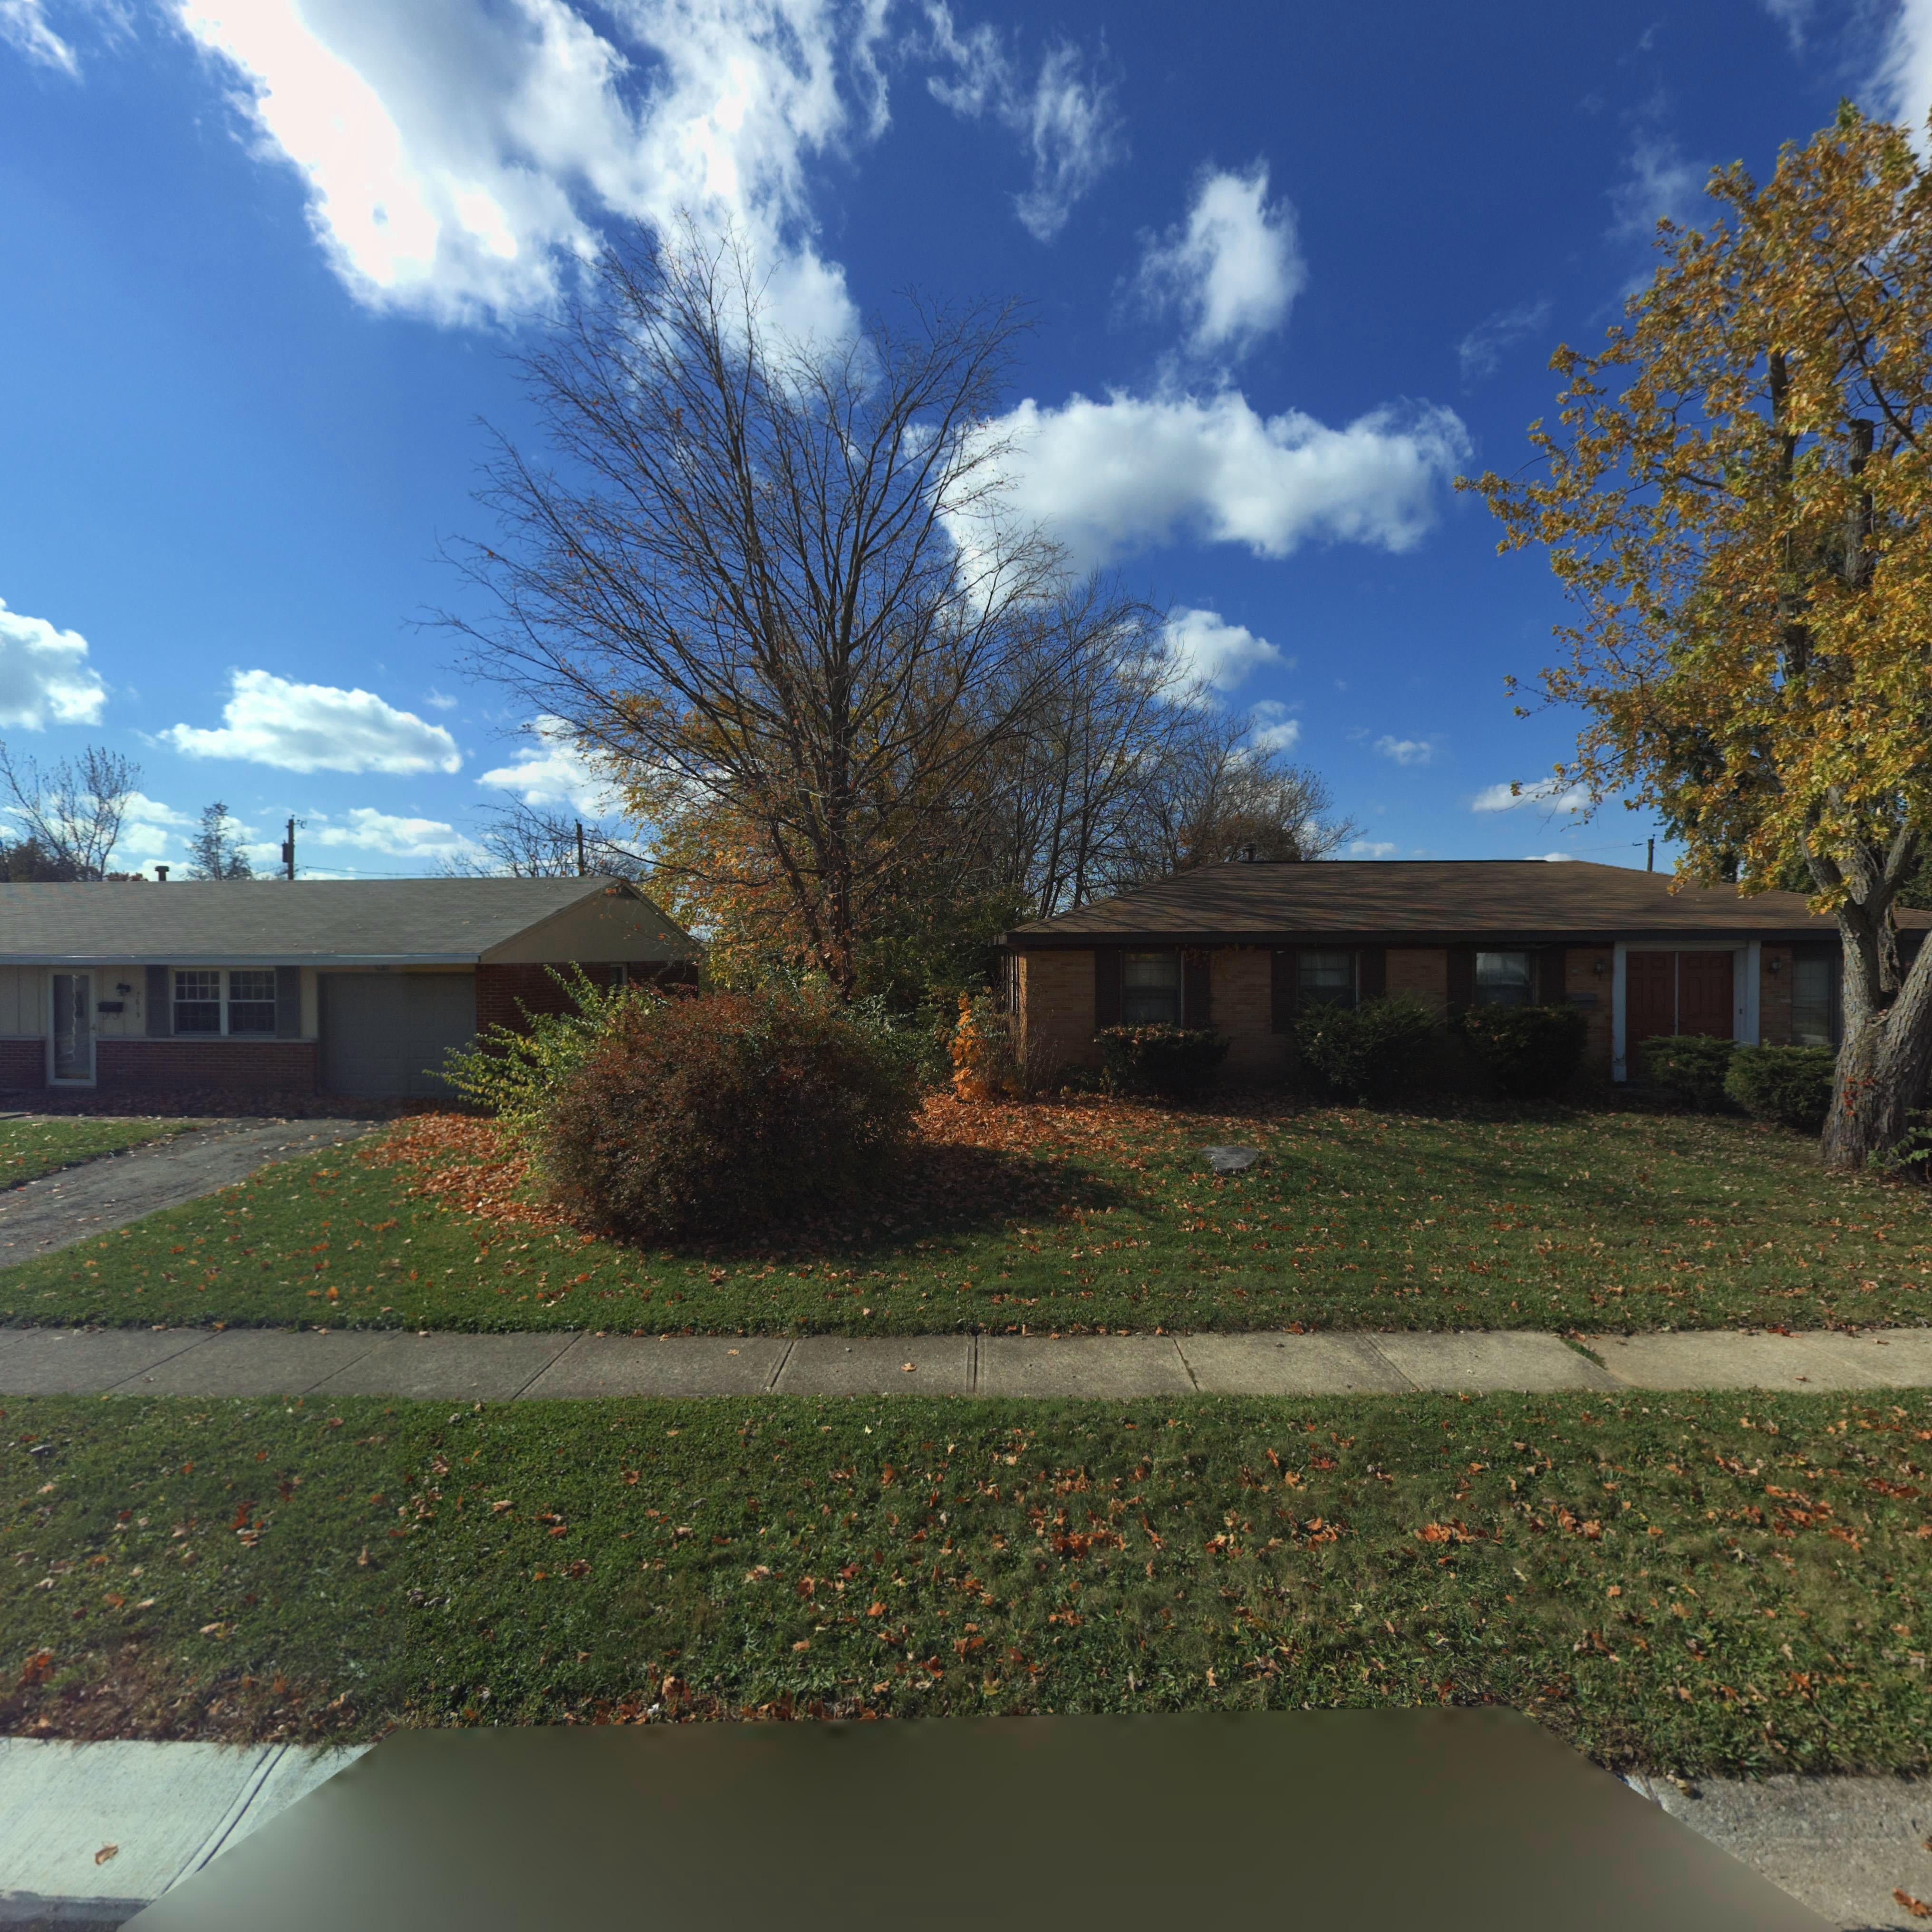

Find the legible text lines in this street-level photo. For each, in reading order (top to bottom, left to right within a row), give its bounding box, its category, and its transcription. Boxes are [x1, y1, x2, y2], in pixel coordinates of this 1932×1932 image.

[135, 992, 141, 1019] StreetNumber: 7619